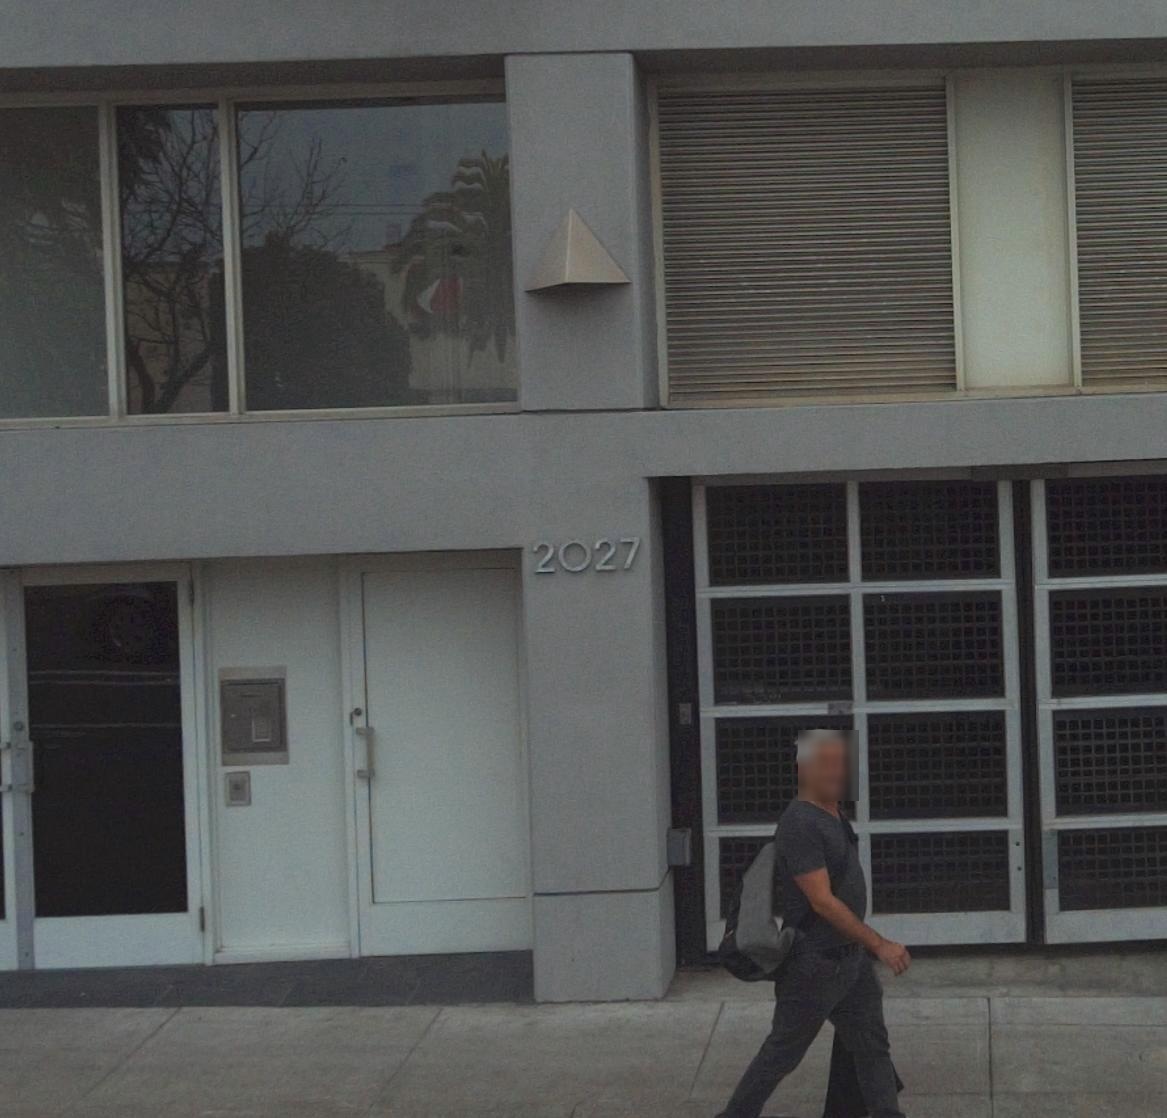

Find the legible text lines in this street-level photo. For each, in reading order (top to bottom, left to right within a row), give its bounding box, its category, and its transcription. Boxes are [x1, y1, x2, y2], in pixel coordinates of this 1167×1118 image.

[530, 535, 646, 576] StreetNumber: 2027